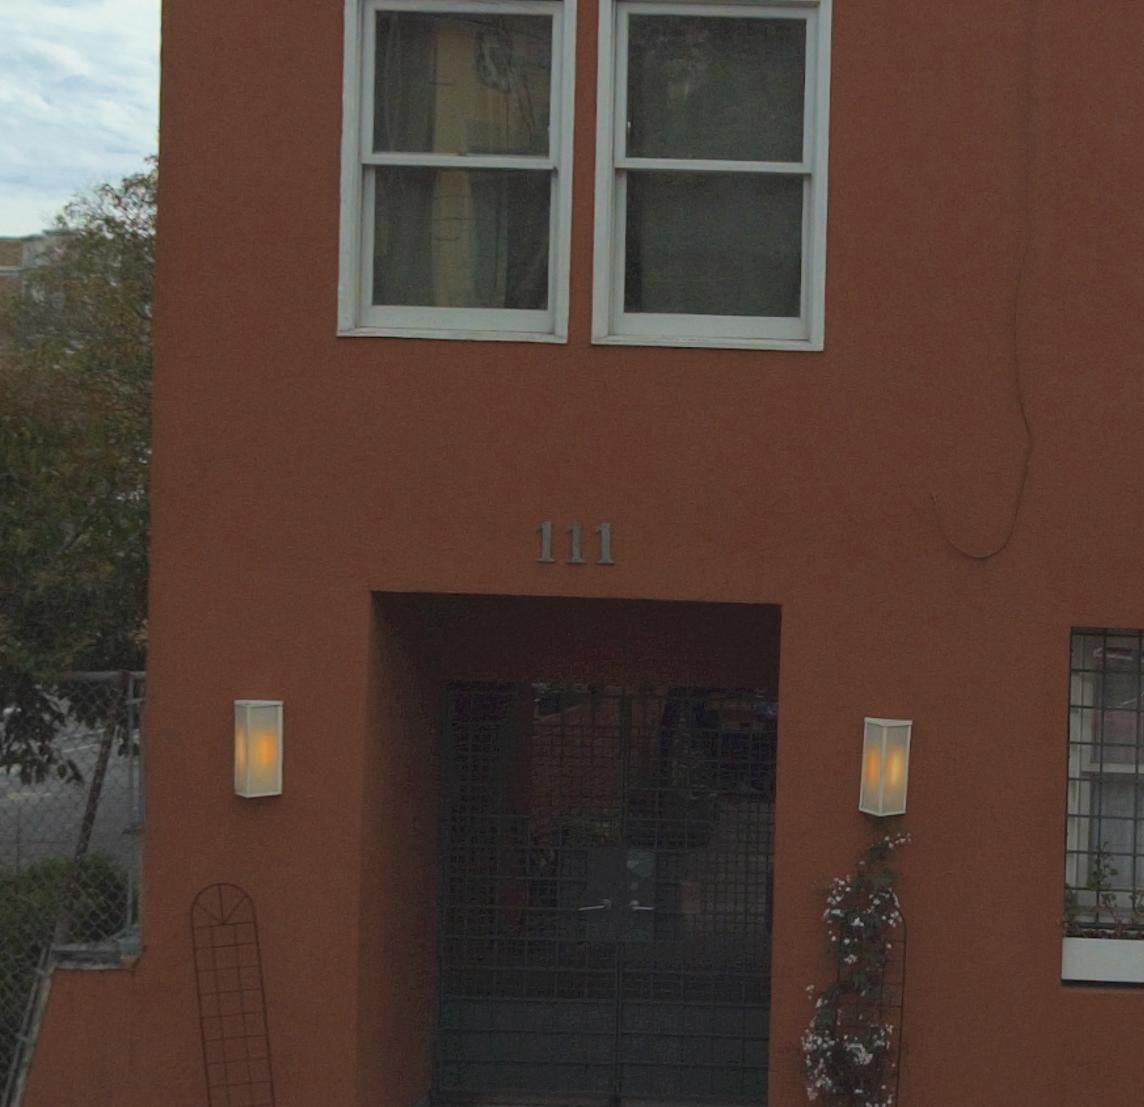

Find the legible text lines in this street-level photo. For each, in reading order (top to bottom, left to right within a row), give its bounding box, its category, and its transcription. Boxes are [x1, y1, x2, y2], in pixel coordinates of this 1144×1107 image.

[533, 520, 617, 566] StreetNumber: 111